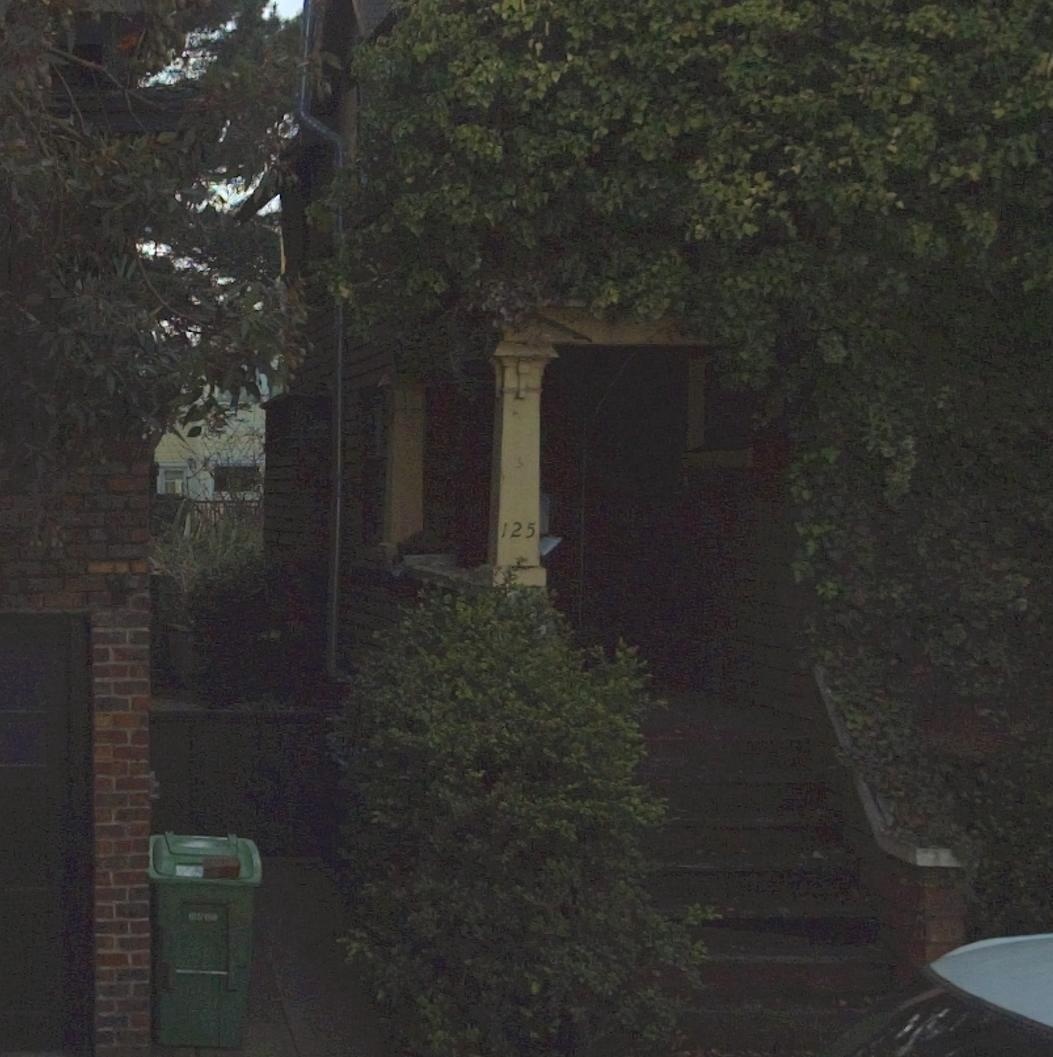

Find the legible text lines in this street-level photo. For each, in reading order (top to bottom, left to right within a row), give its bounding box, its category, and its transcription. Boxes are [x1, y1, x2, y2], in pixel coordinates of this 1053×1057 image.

[499, 521, 537, 539] StreetNumber: 125